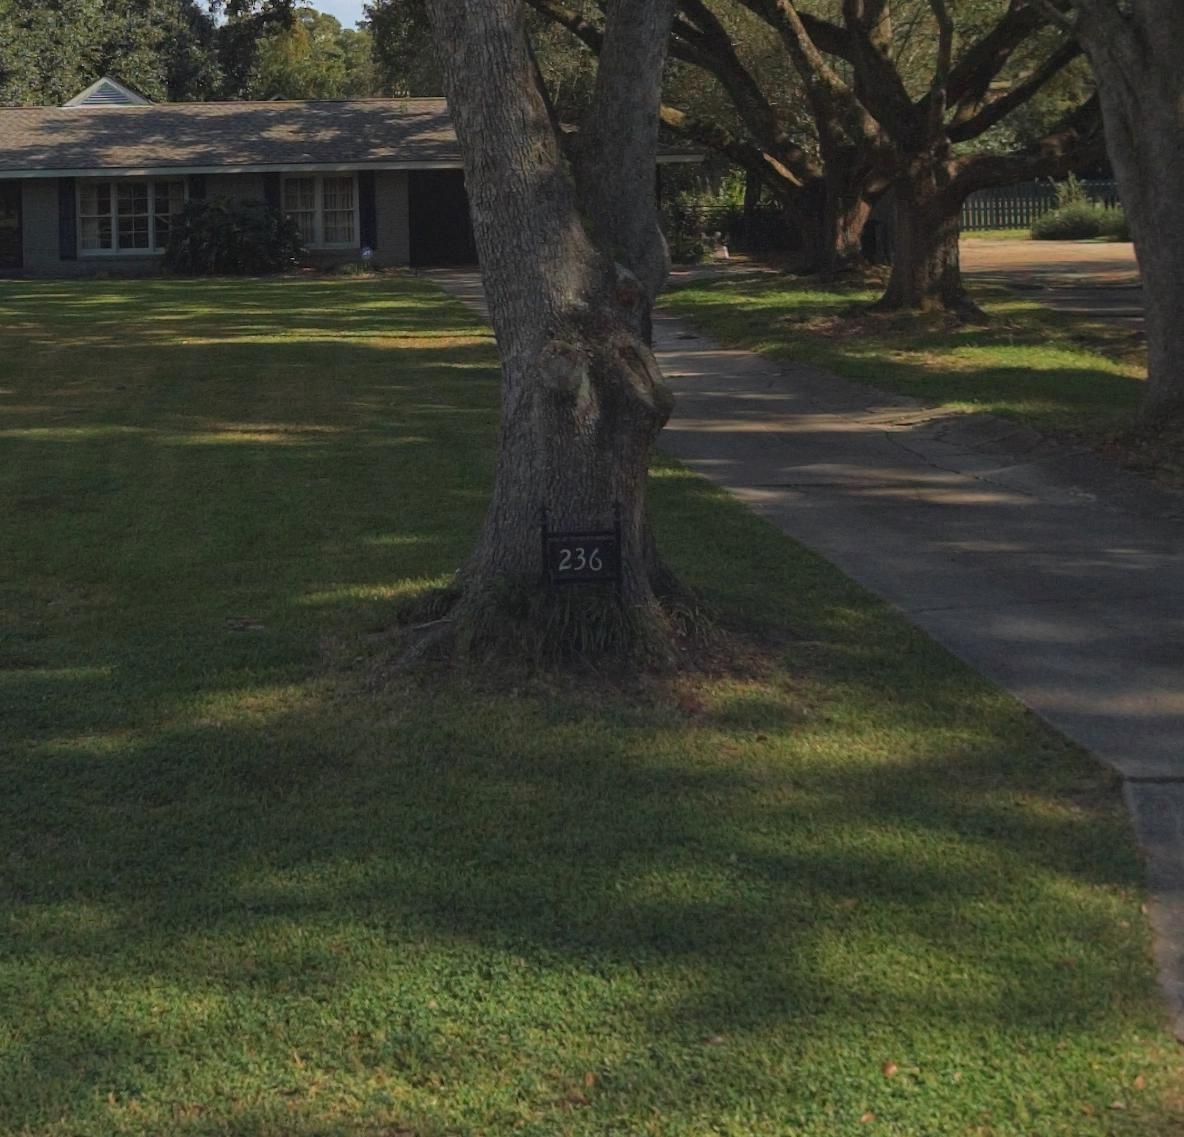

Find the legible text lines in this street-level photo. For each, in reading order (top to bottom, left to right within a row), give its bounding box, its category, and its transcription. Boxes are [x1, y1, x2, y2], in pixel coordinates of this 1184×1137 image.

[557, 546, 604, 572] StreetNumber: 236